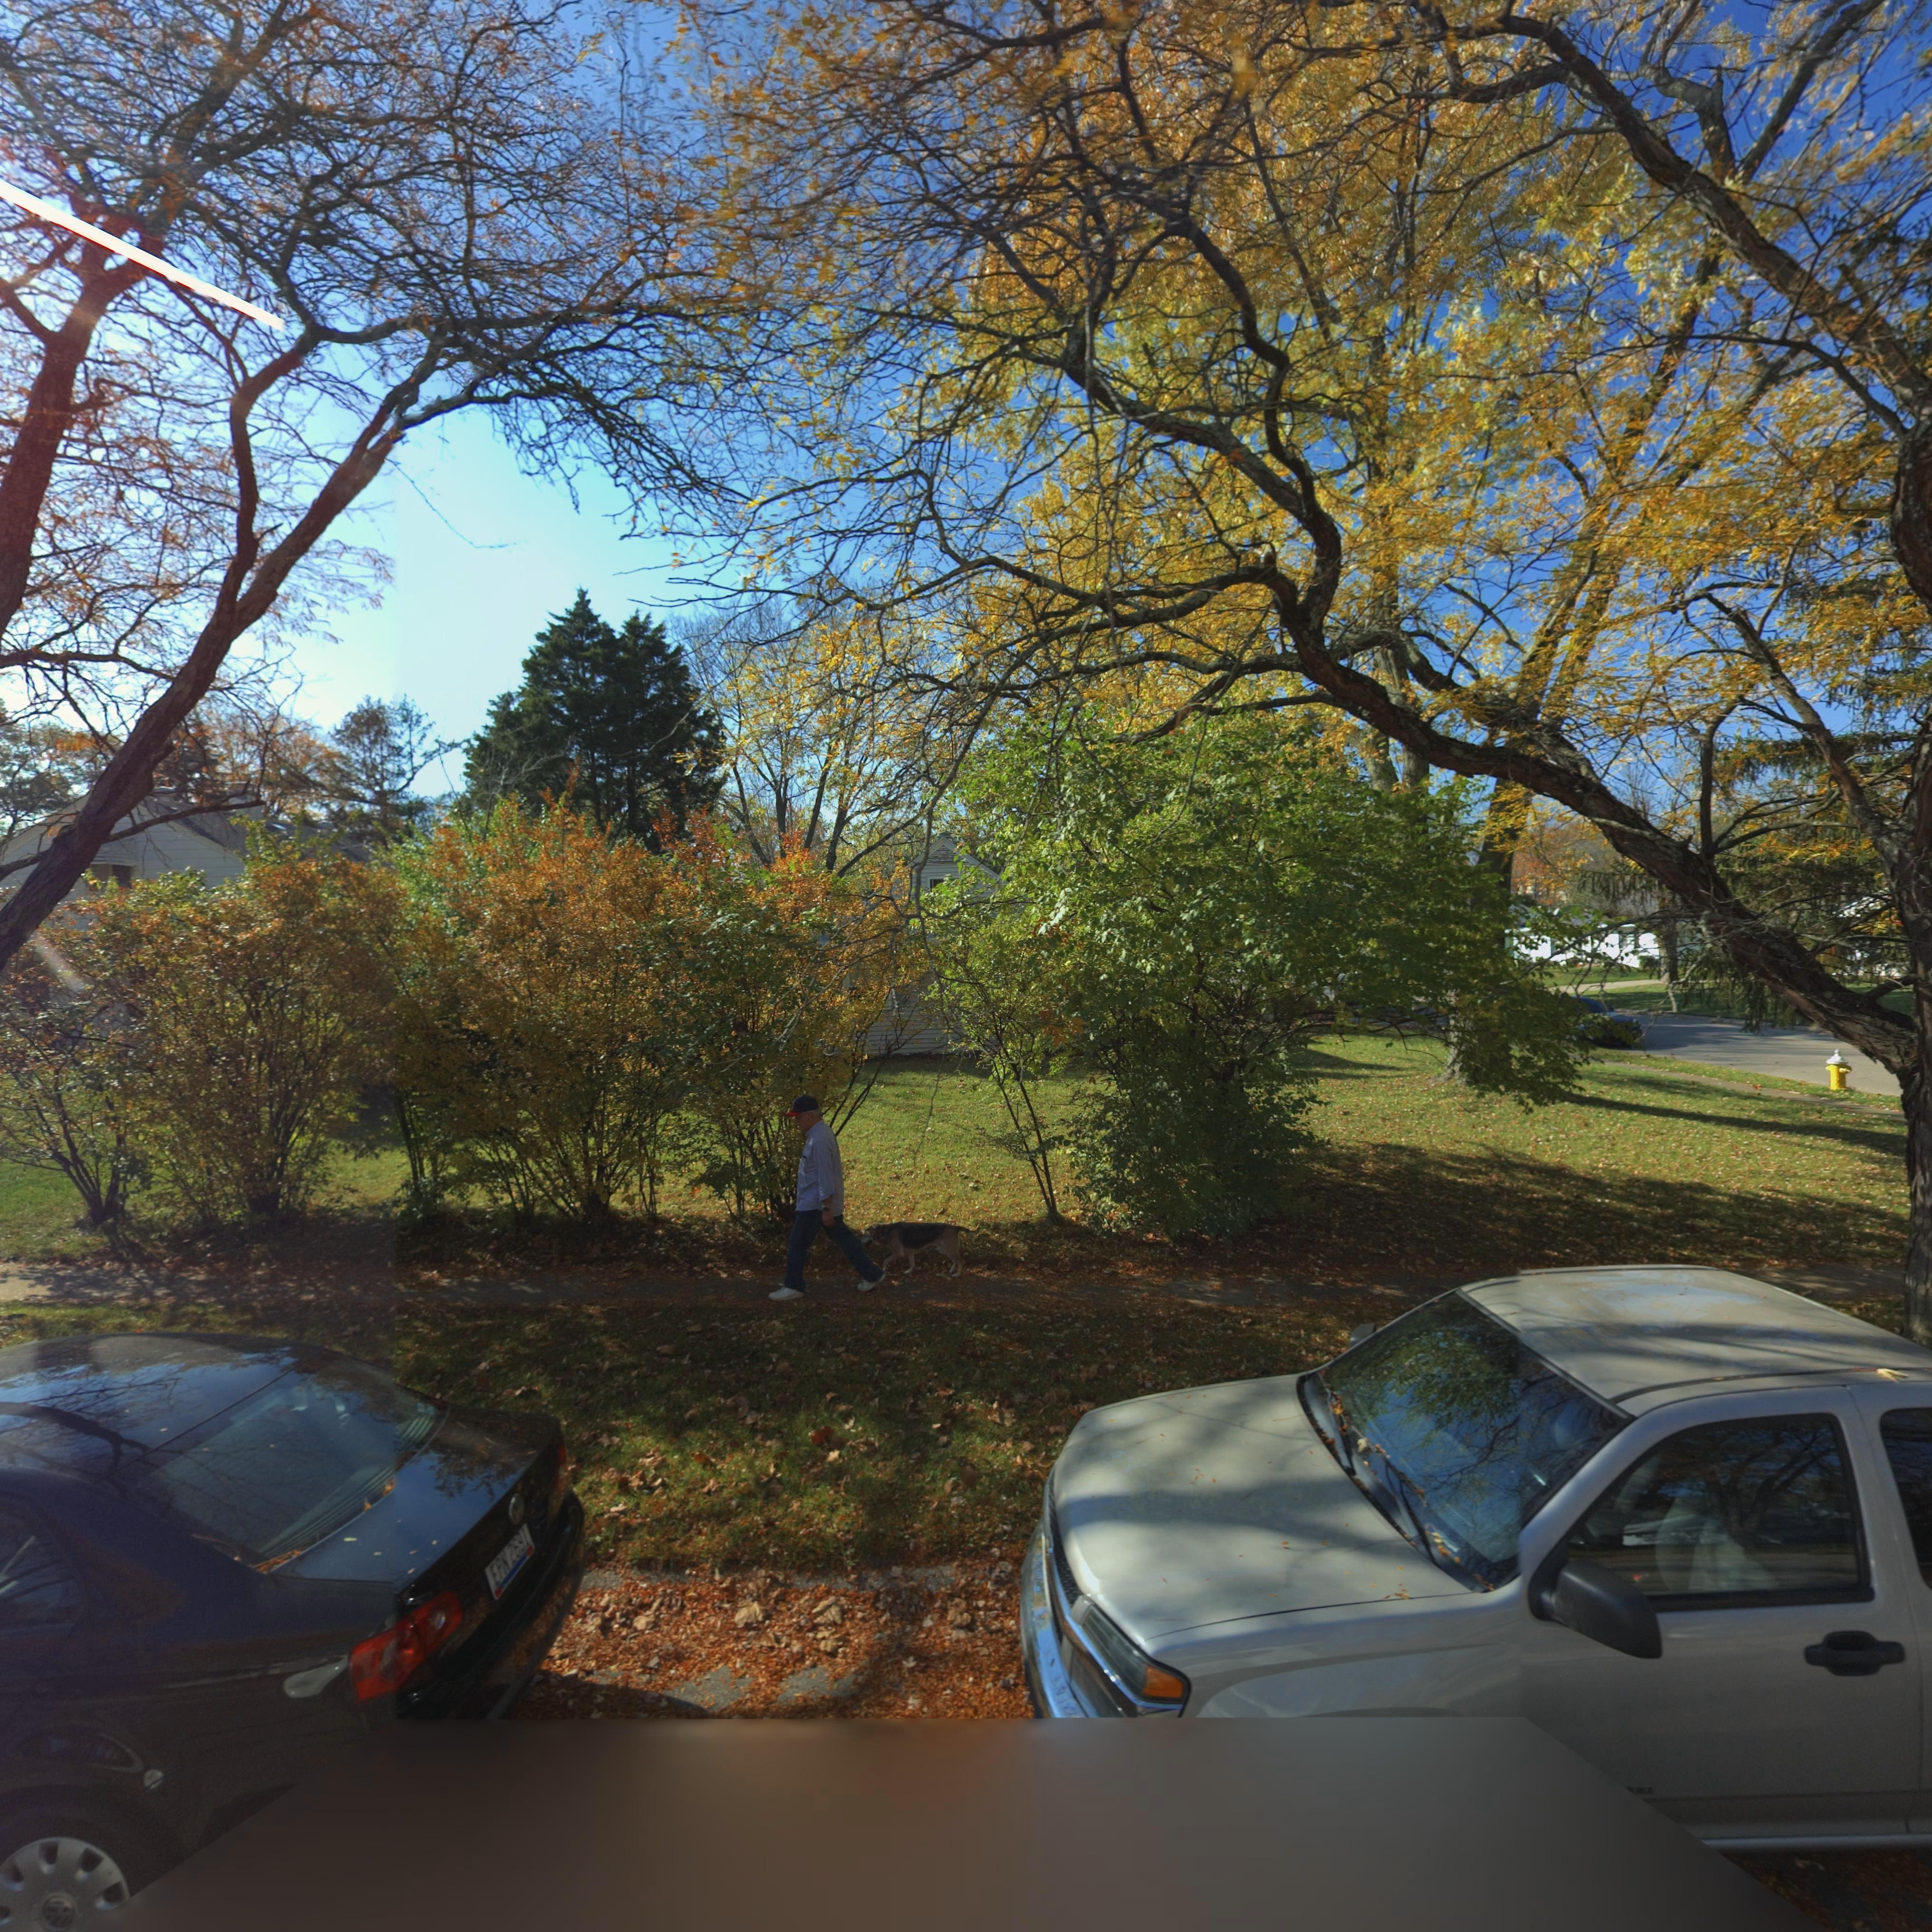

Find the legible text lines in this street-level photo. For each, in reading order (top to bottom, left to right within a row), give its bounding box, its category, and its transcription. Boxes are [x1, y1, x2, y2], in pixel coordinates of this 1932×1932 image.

[489, 1526, 531, 1588] None: EPN*2691
[1640, 1785, 1654, 1796] None: O